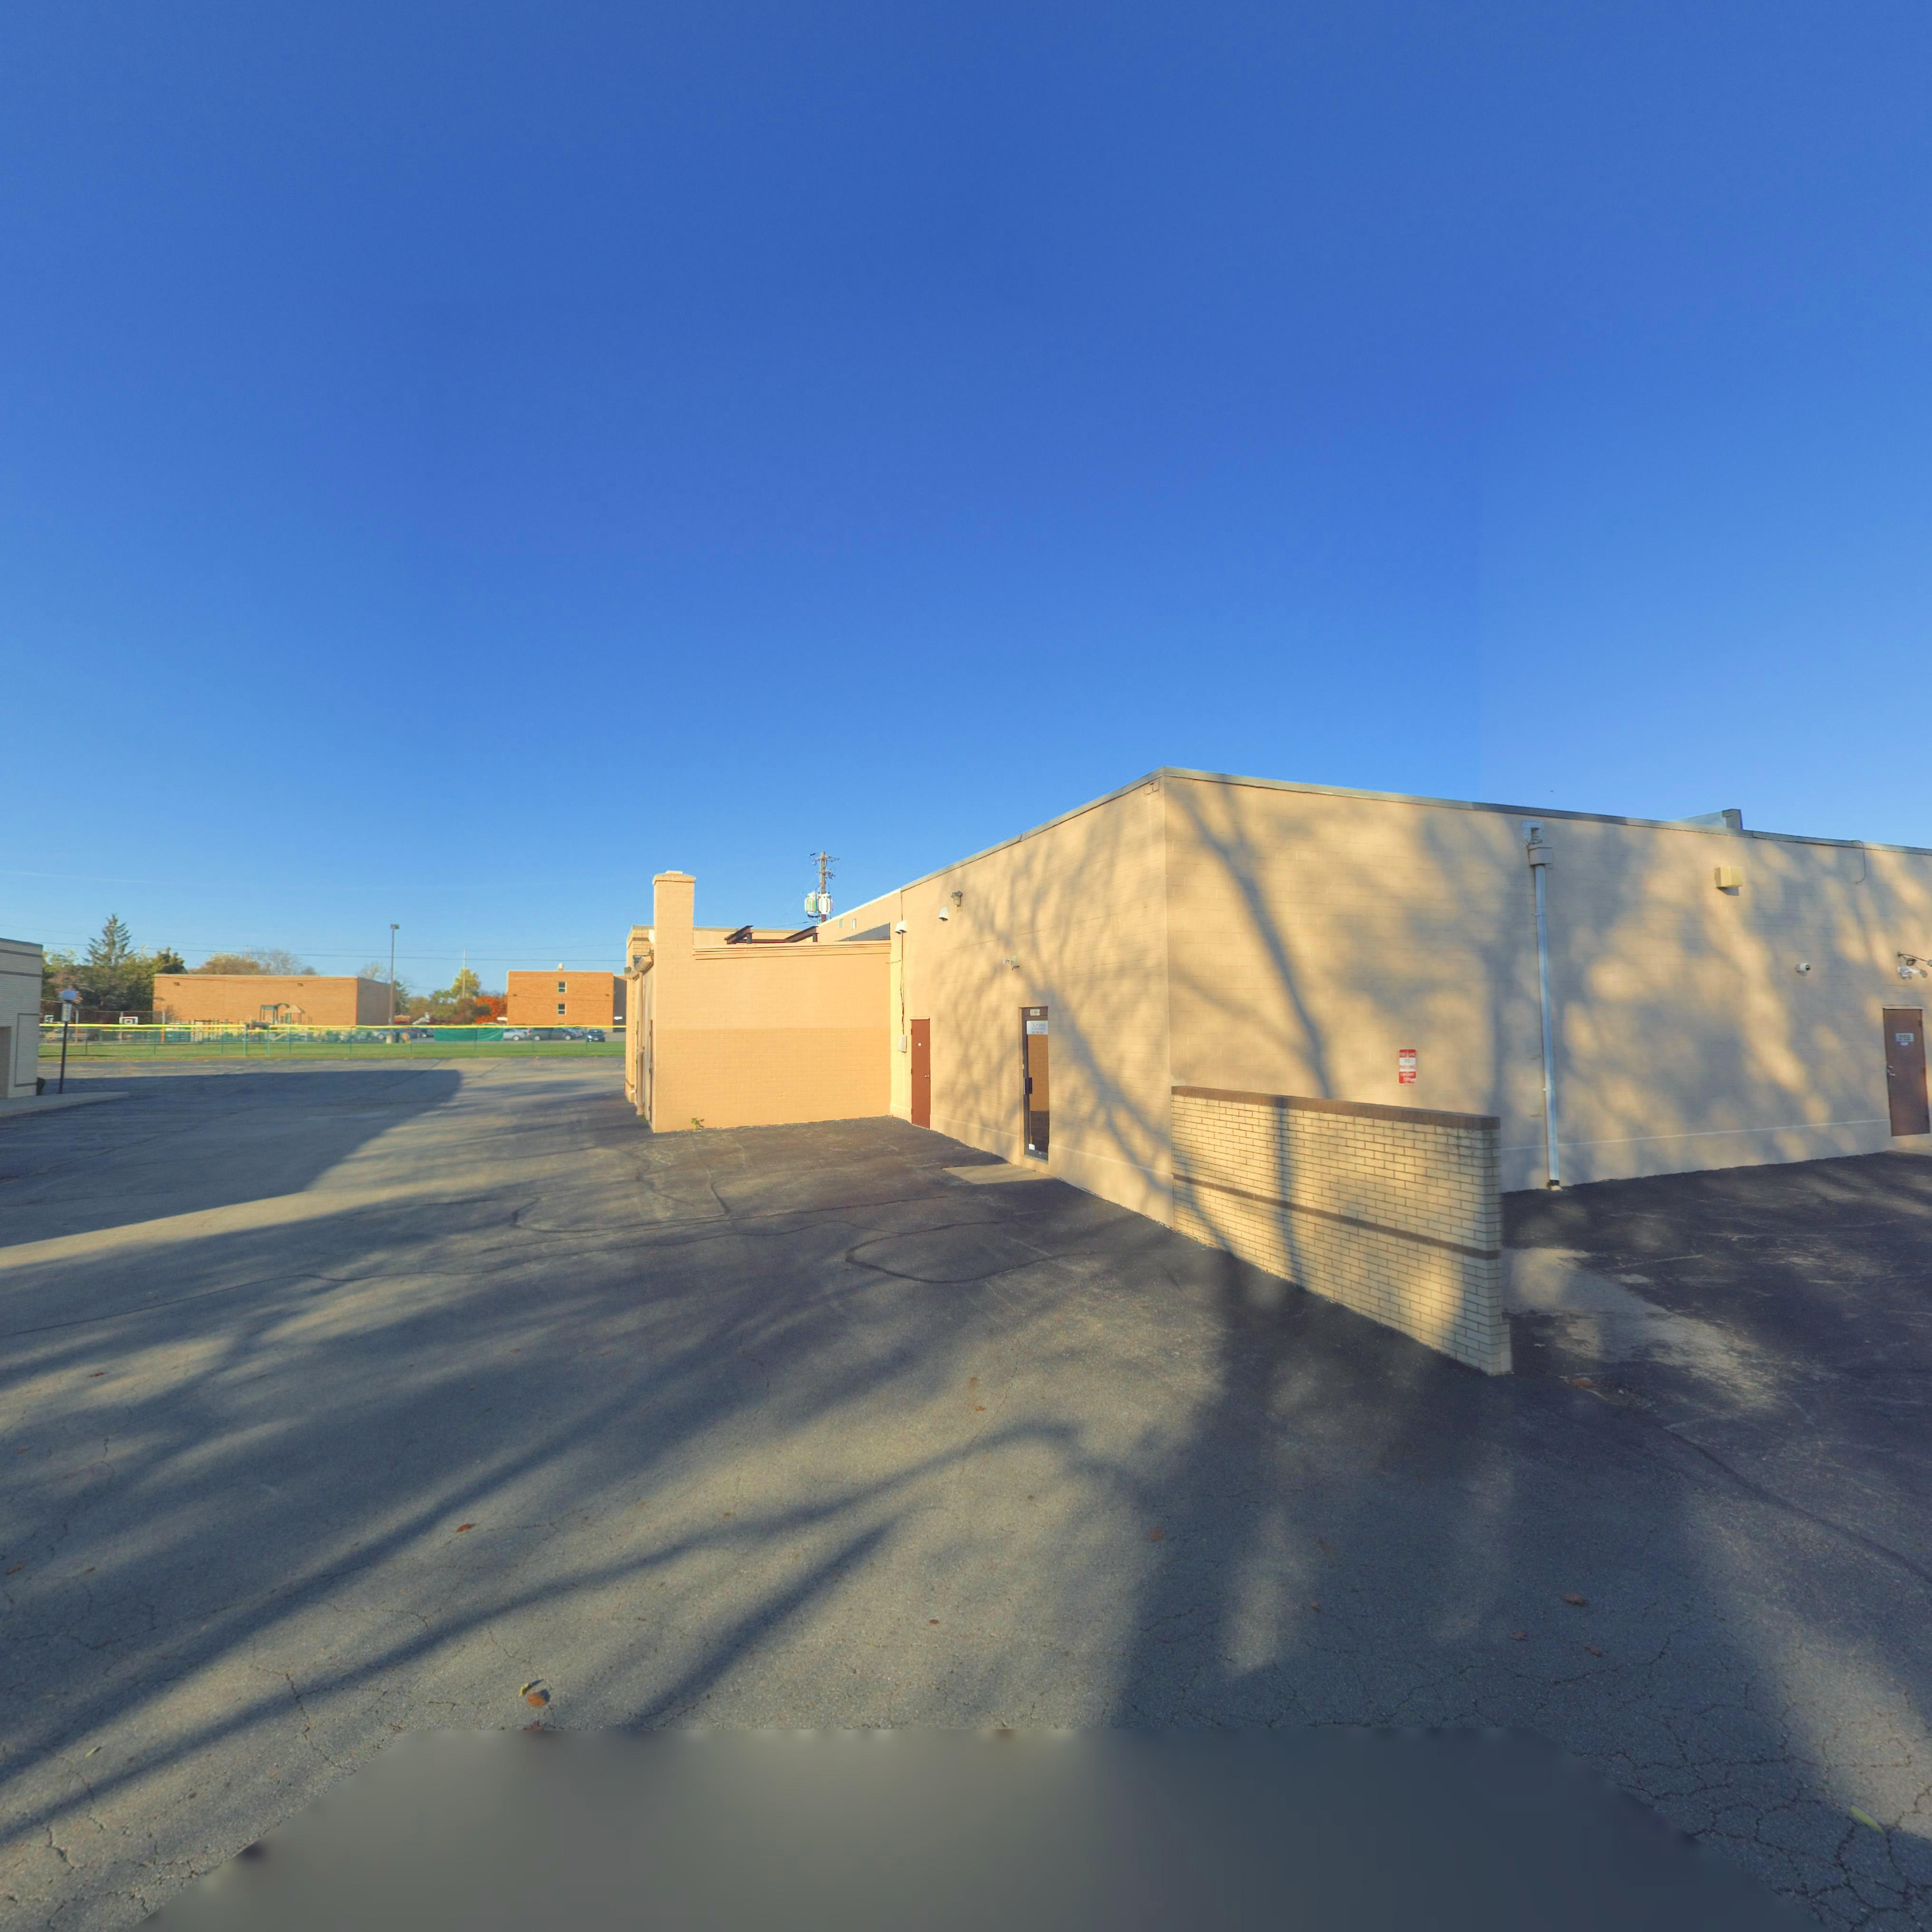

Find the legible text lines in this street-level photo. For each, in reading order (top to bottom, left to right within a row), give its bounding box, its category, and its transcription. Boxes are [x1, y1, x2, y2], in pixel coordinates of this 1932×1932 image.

[1030, 1009, 1038, 1015] StreetNumber: 3149